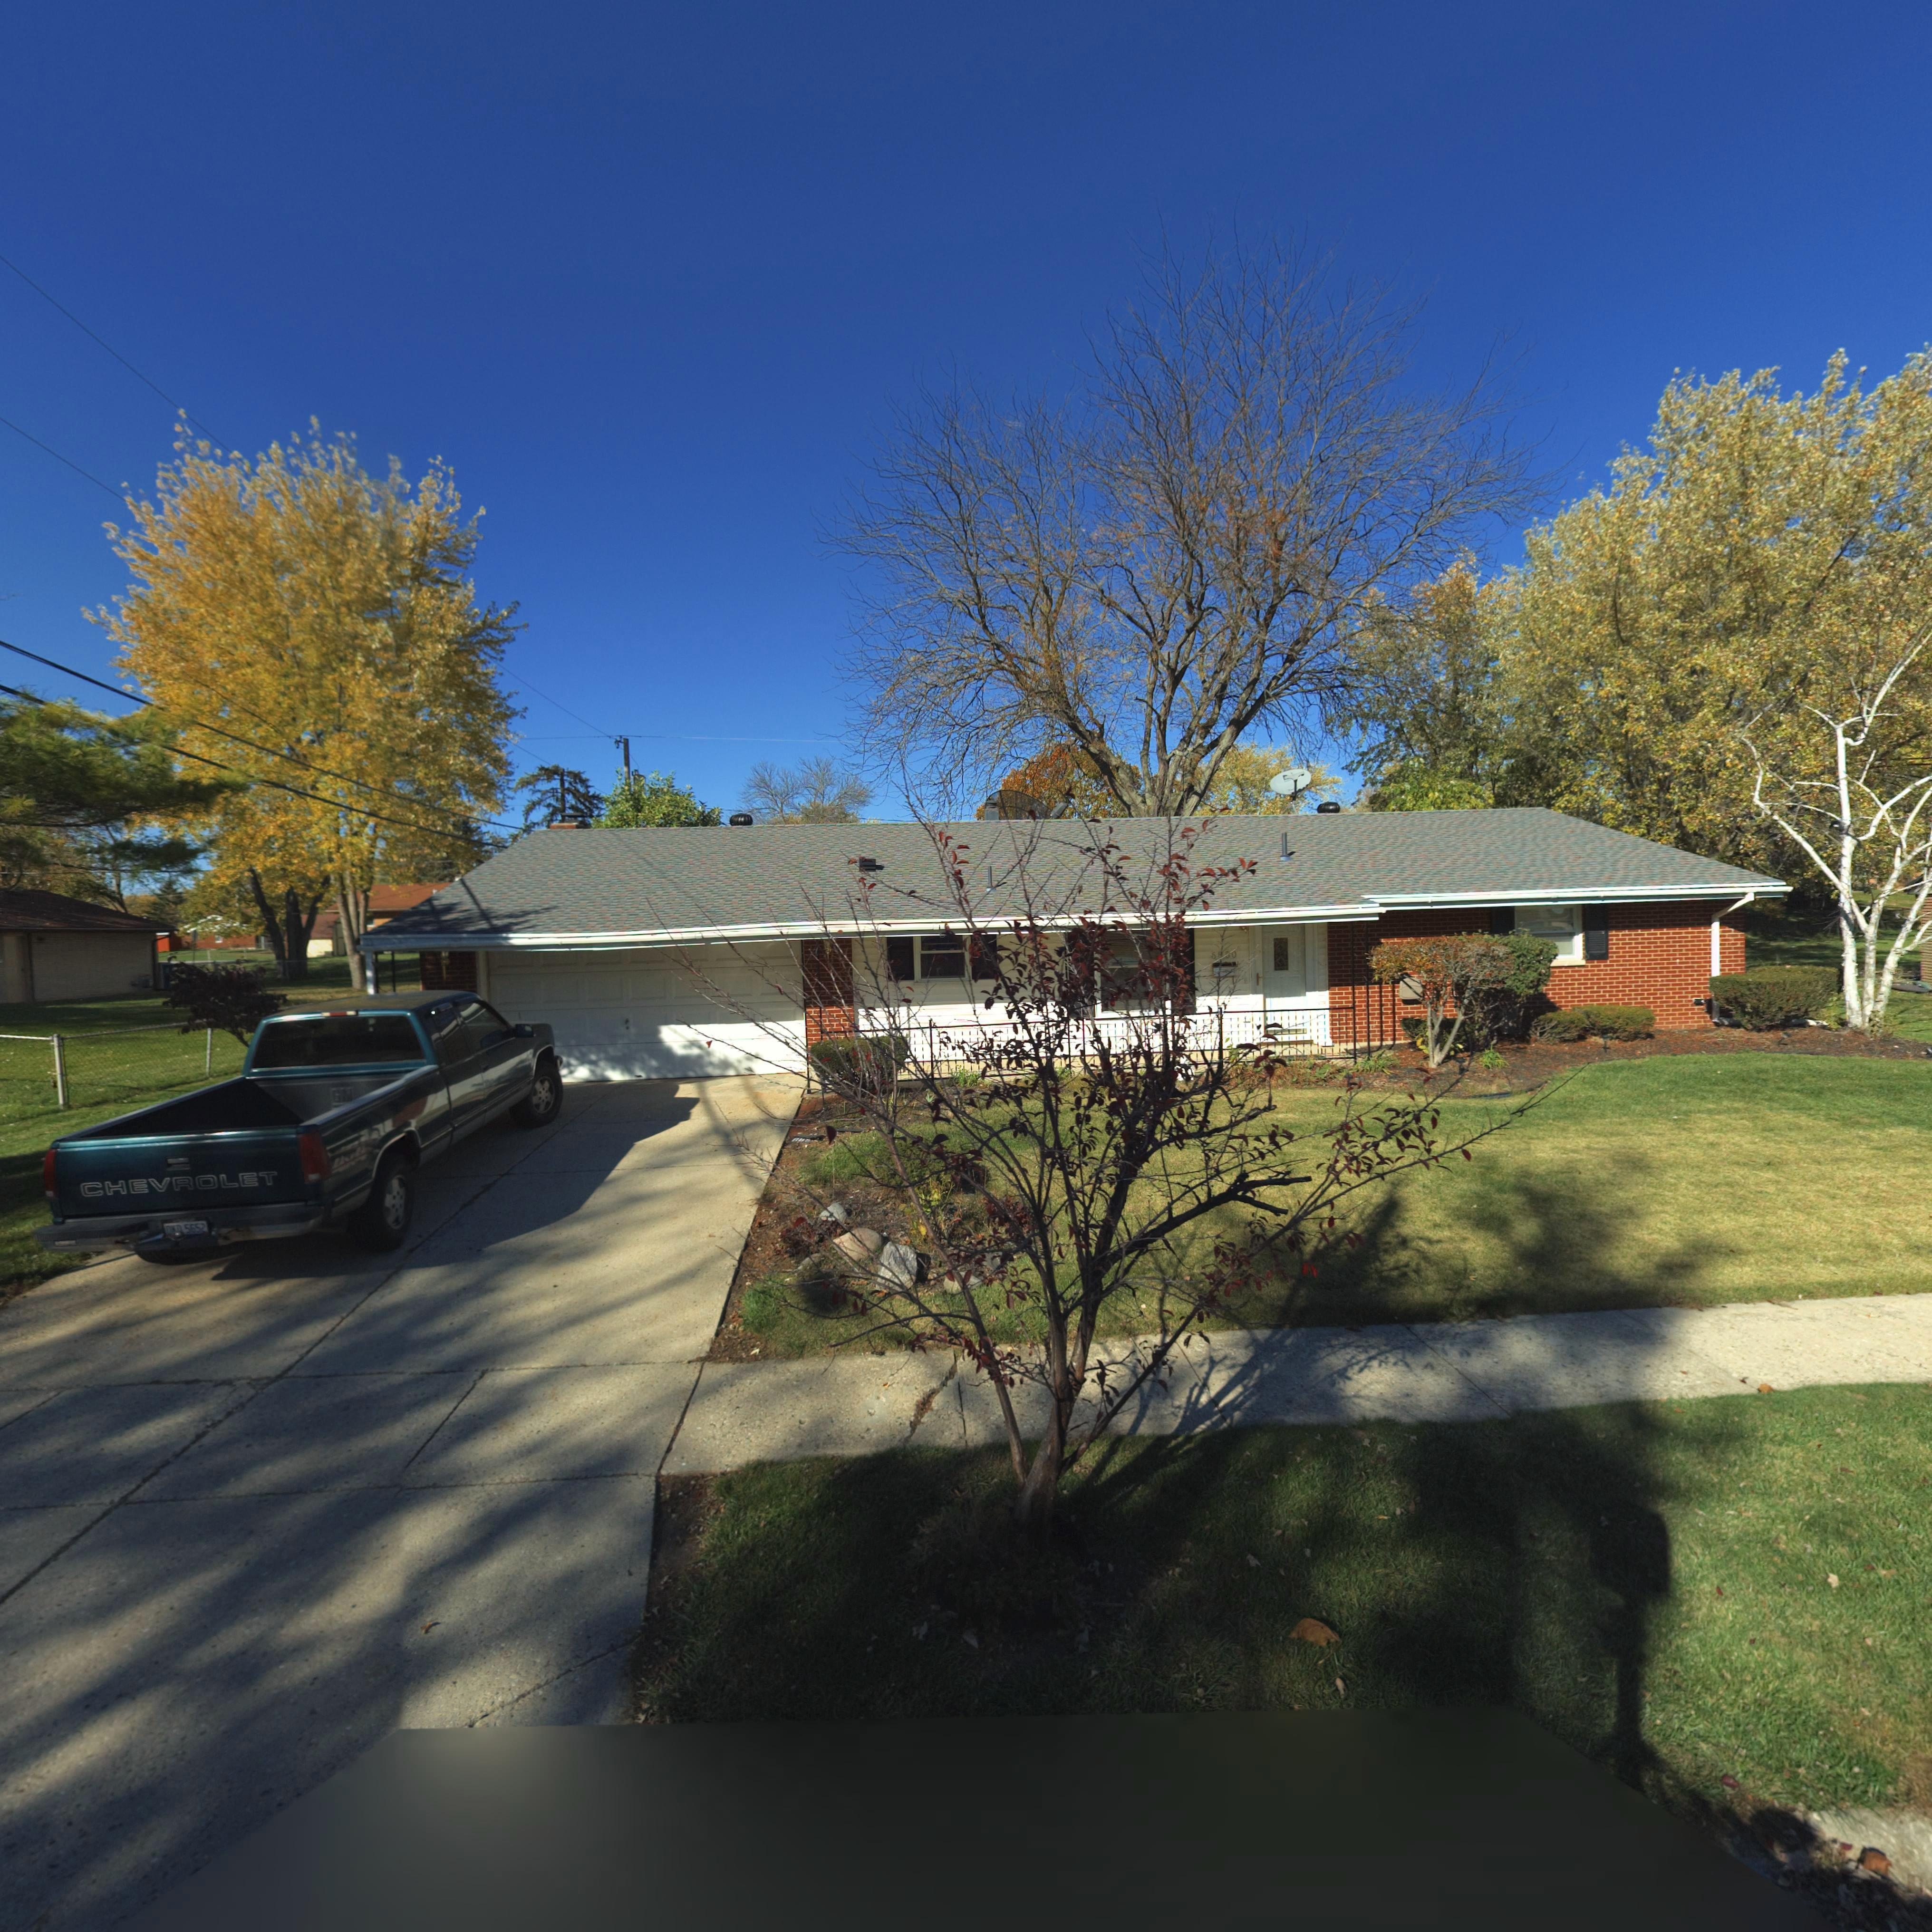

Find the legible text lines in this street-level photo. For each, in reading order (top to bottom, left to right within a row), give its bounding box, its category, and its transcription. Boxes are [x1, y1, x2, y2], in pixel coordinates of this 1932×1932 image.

[1211, 950, 1237, 959] StreetNumber: 6850
[329, 1086, 354, 1104] None: GM
[329, 1143, 369, 1175] None: 4x4
[78, 1169, 280, 1199] None: CHEVROLET
[183, 1222, 207, 1235] None: 5652